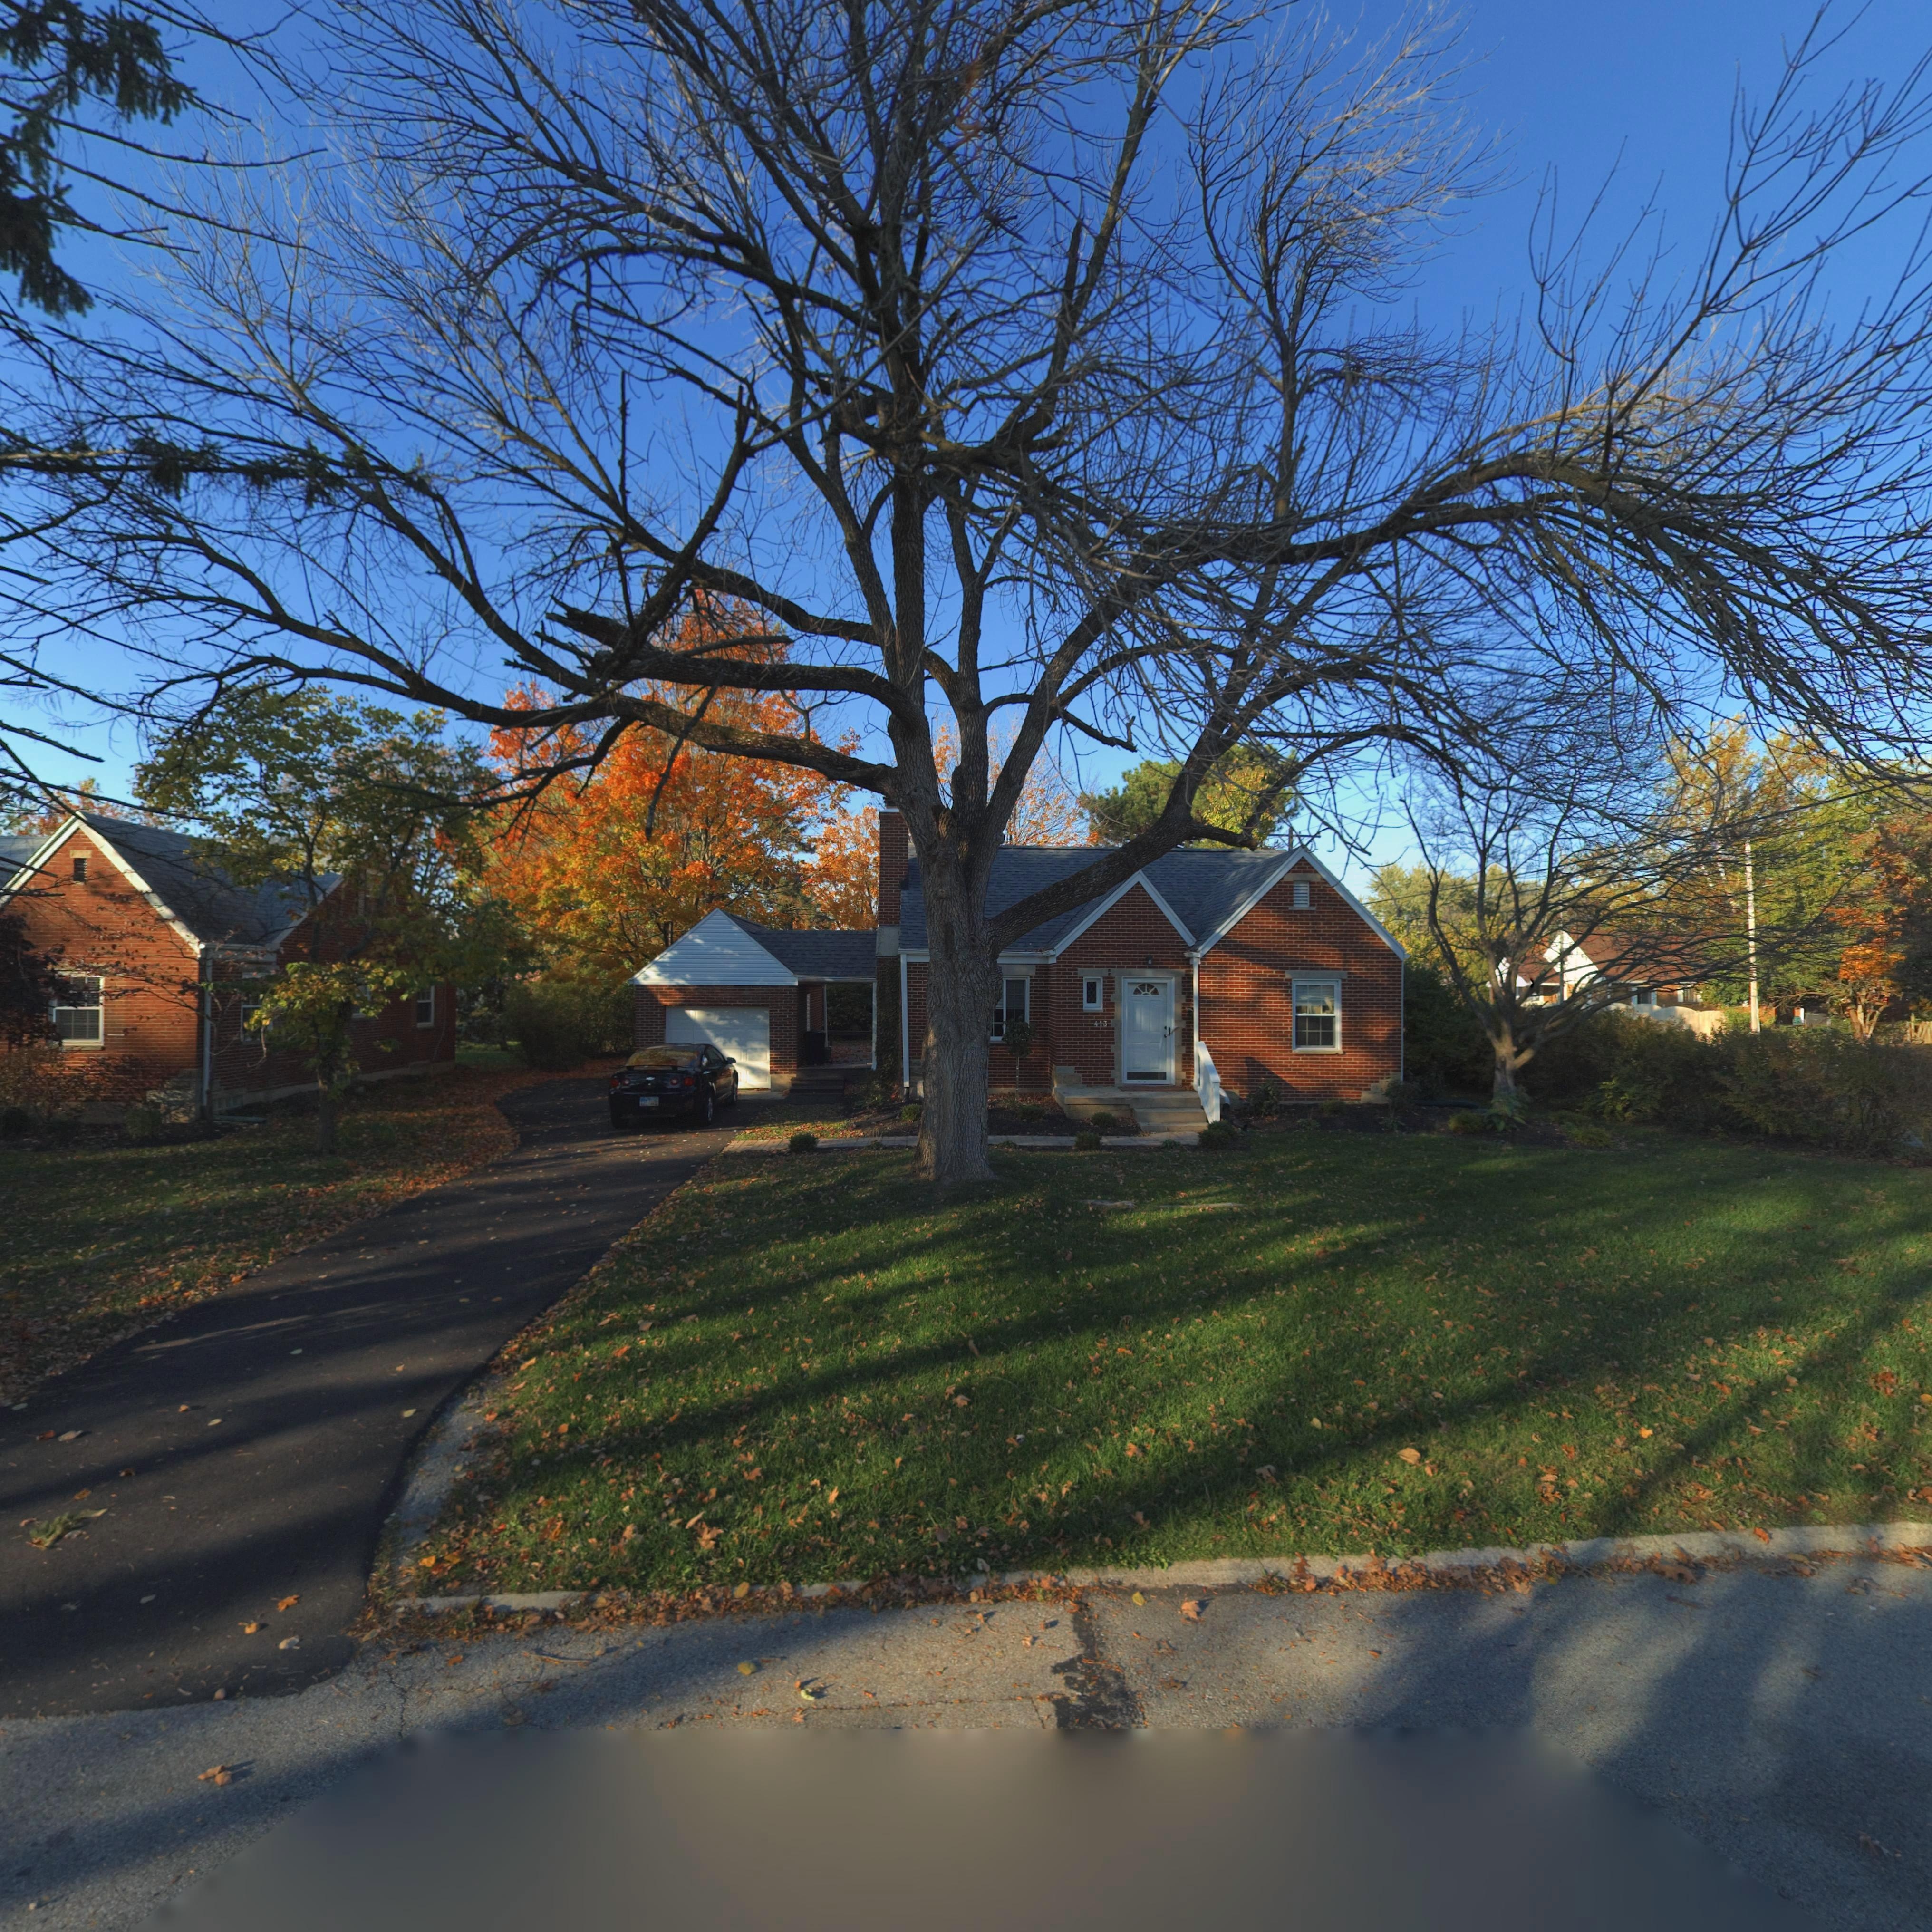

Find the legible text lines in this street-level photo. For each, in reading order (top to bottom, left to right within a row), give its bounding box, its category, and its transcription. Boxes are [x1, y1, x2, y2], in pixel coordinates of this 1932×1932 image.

[1093, 1020, 1108, 1027] StreetNumber: 413